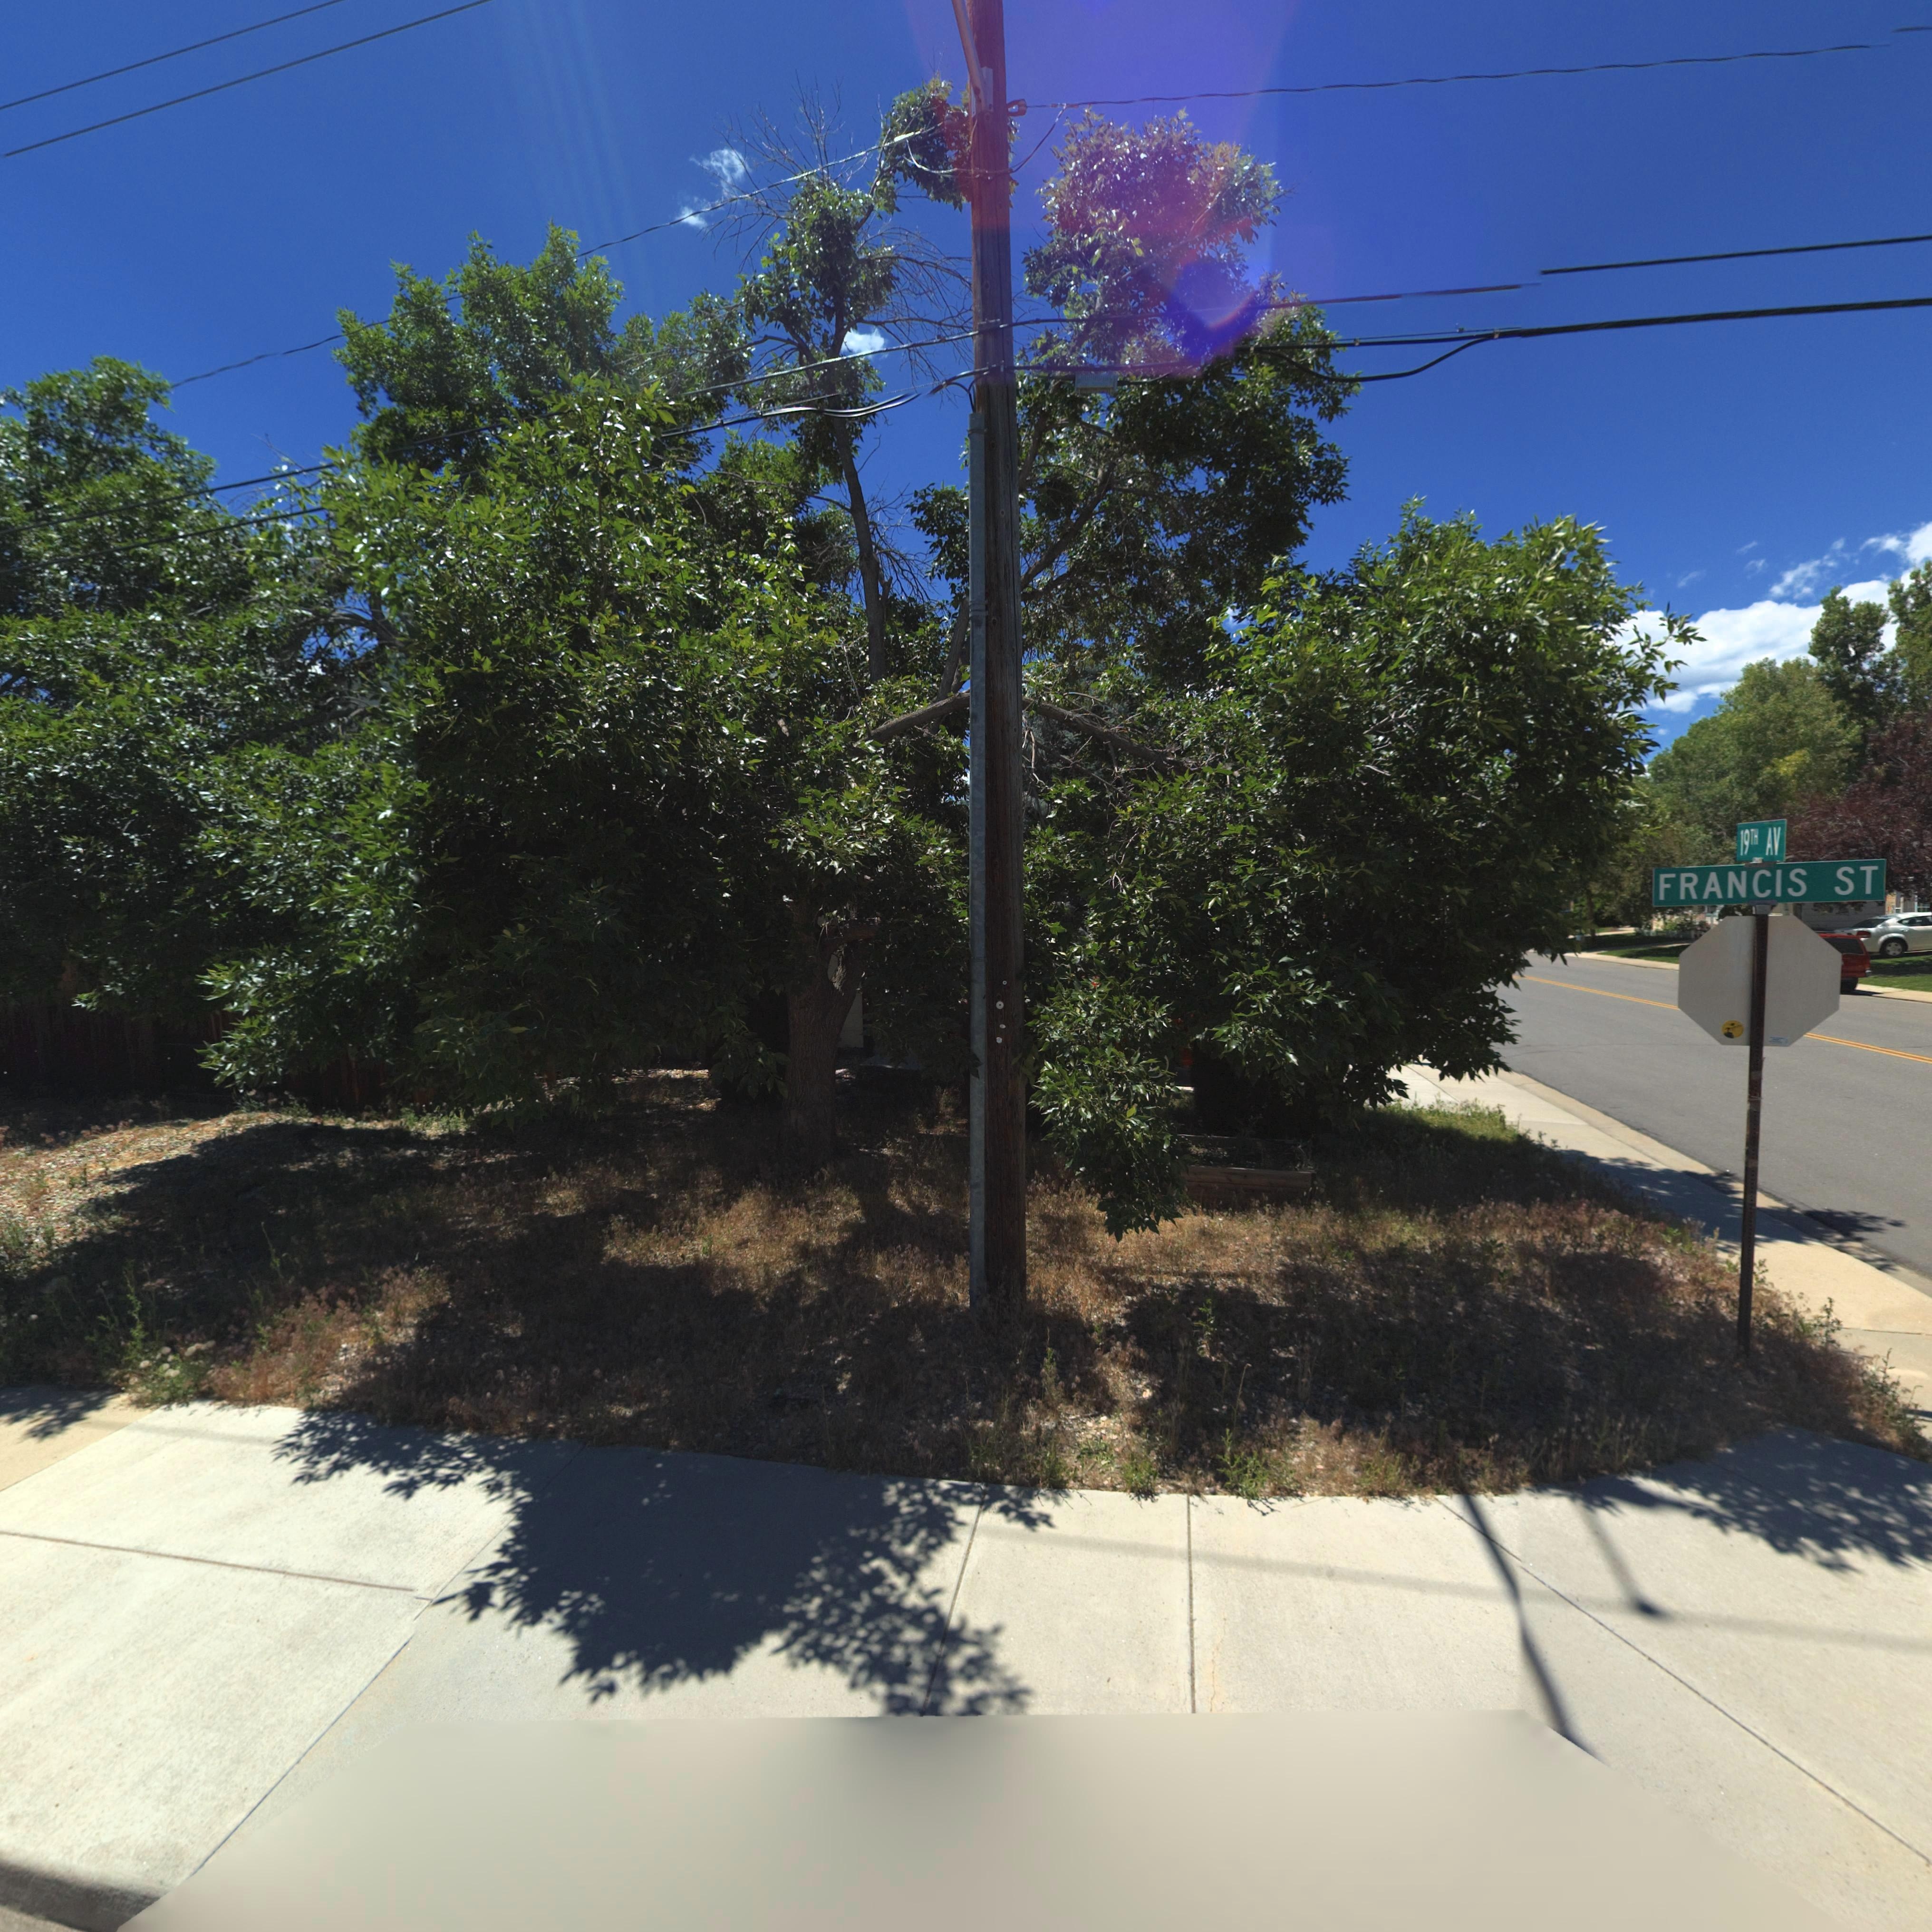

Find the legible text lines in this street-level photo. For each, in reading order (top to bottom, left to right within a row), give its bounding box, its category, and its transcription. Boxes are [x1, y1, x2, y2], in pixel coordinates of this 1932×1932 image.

[1739, 826, 1783, 856] StreetName: 19TH AV
[1657, 863, 1881, 902] StreetName: FRANCIS ST